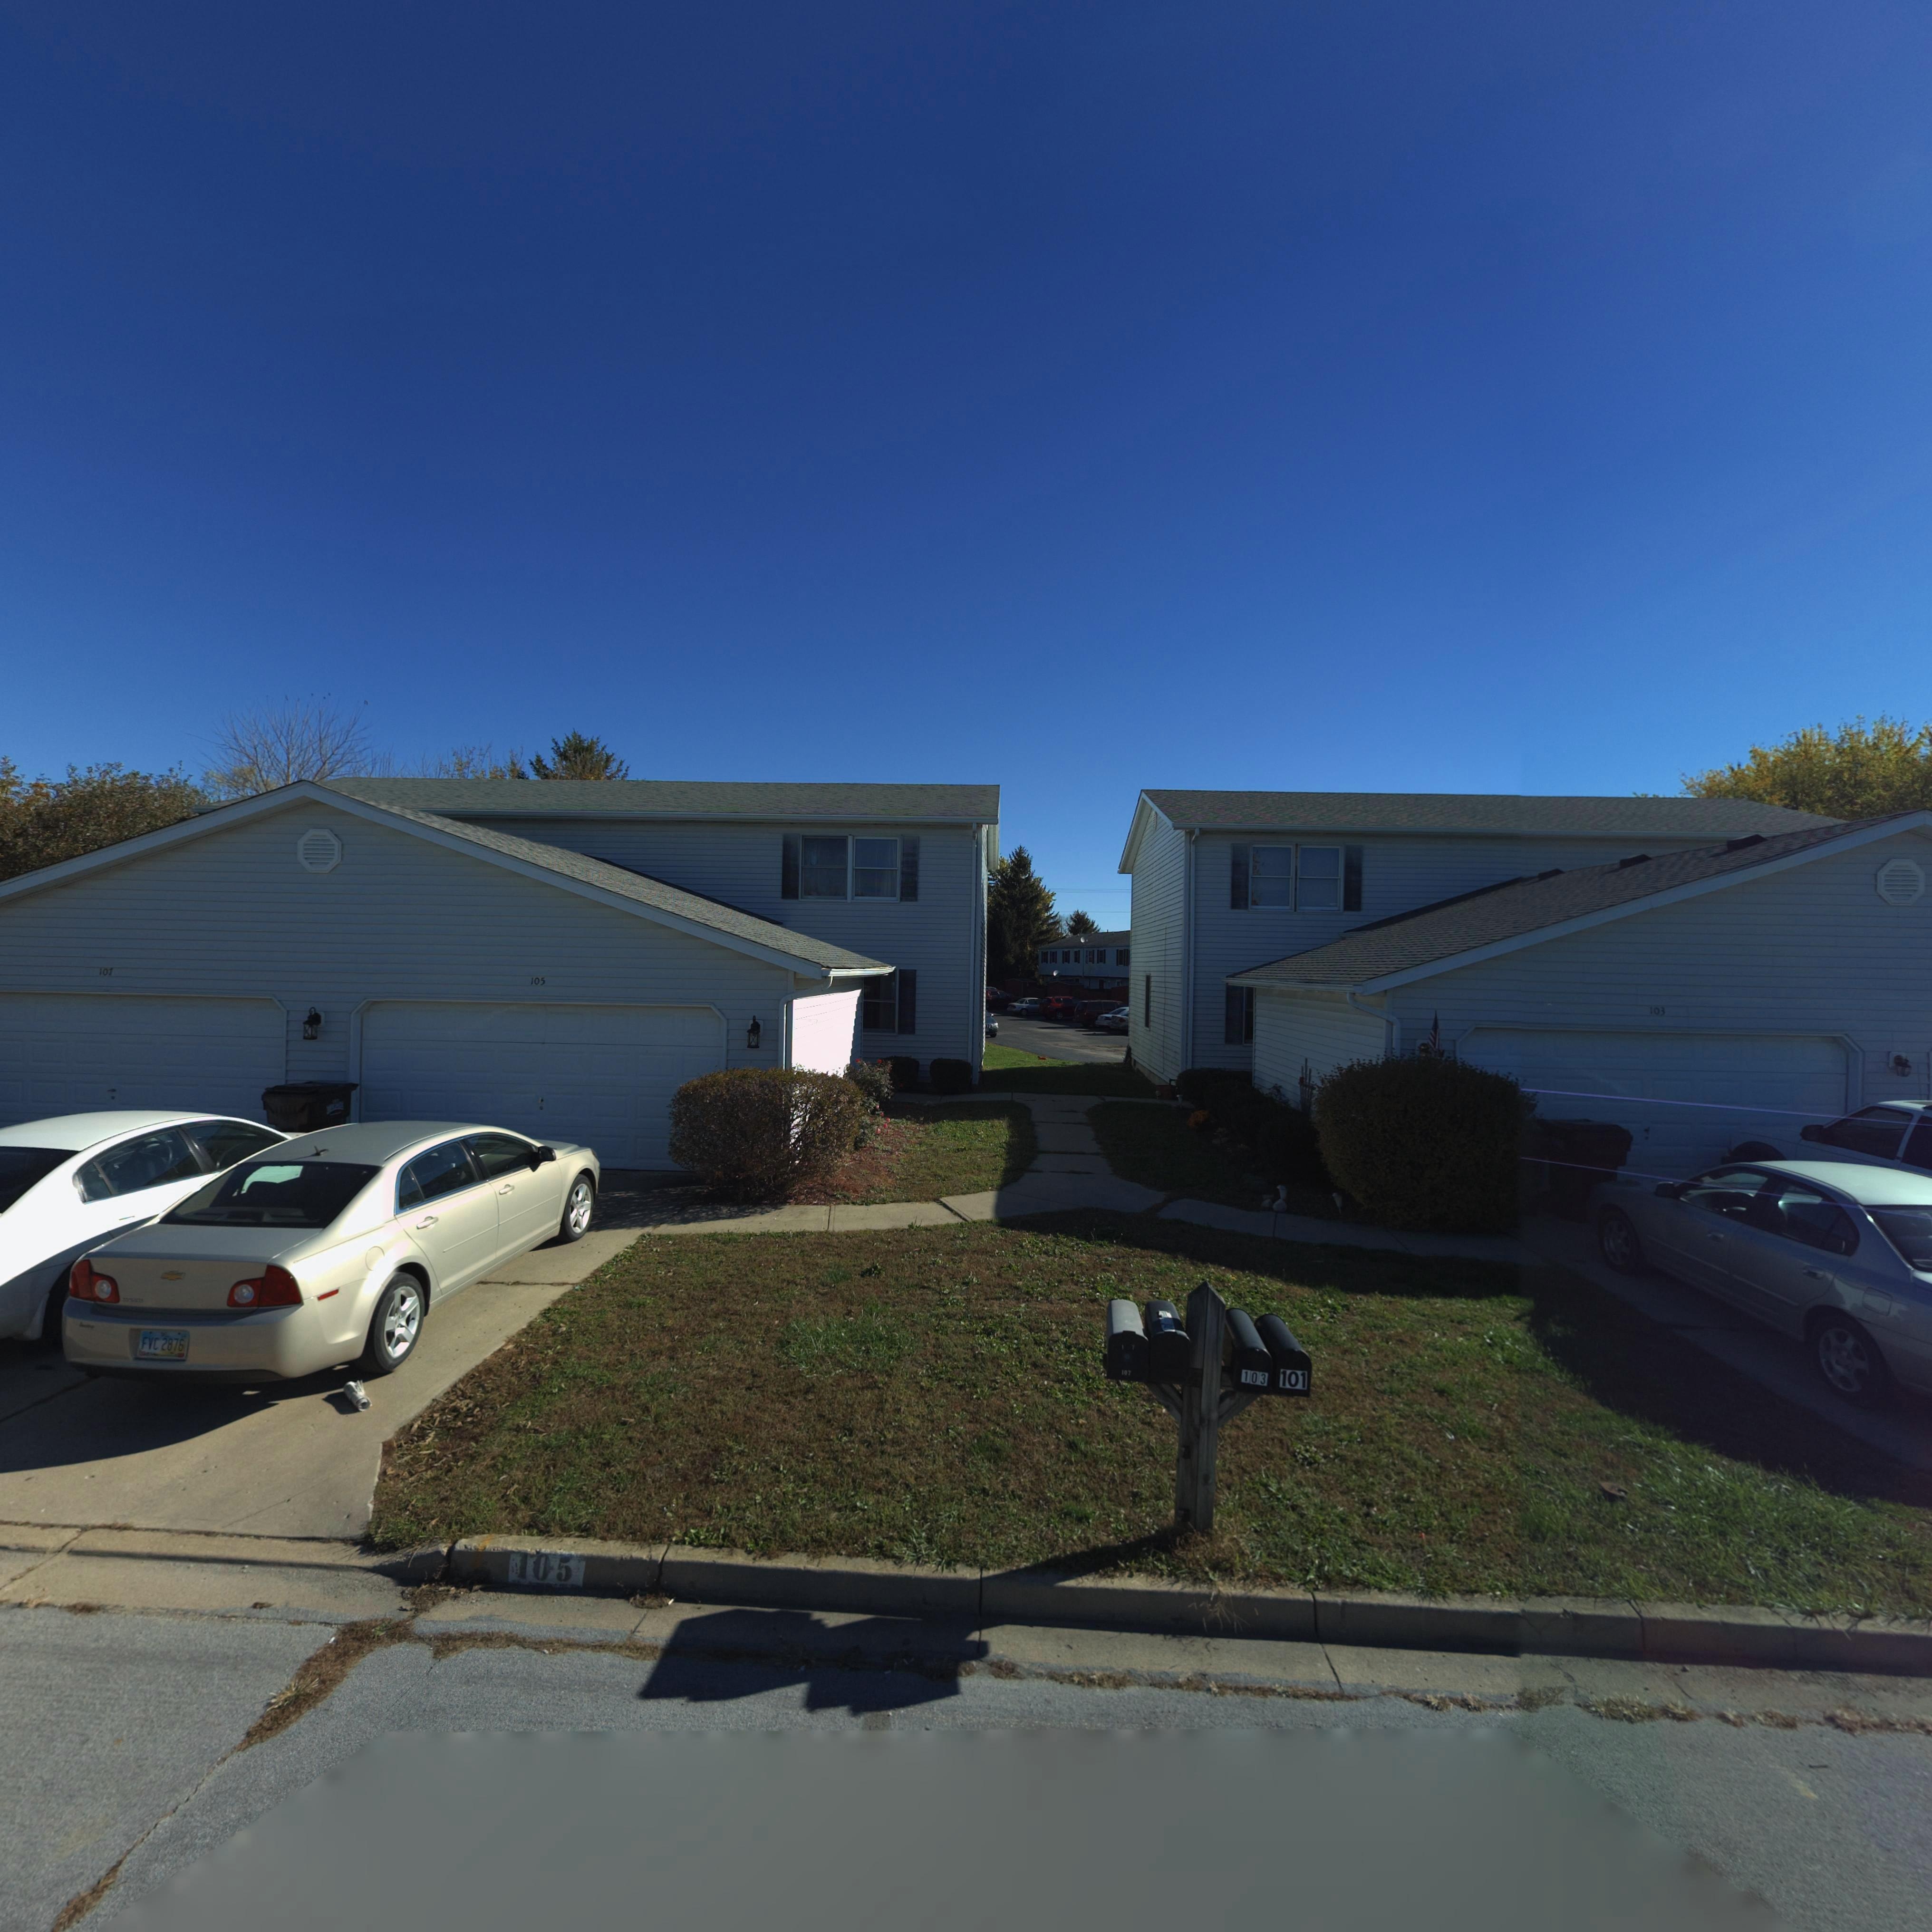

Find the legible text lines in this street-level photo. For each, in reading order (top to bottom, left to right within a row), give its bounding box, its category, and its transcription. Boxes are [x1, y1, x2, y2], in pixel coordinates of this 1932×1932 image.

[530, 976, 546, 985] StreetNumber: 105
[1649, 1005, 1666, 1016] StreetNumber: 103
[1121, 1369, 1132, 1376] StreetNumber: 107
[1243, 1370, 1268, 1386] StreetNumber: 103
[1280, 1369, 1307, 1390] StreetNumber: 101
[515, 1552, 576, 1583] StreetNumber: 105